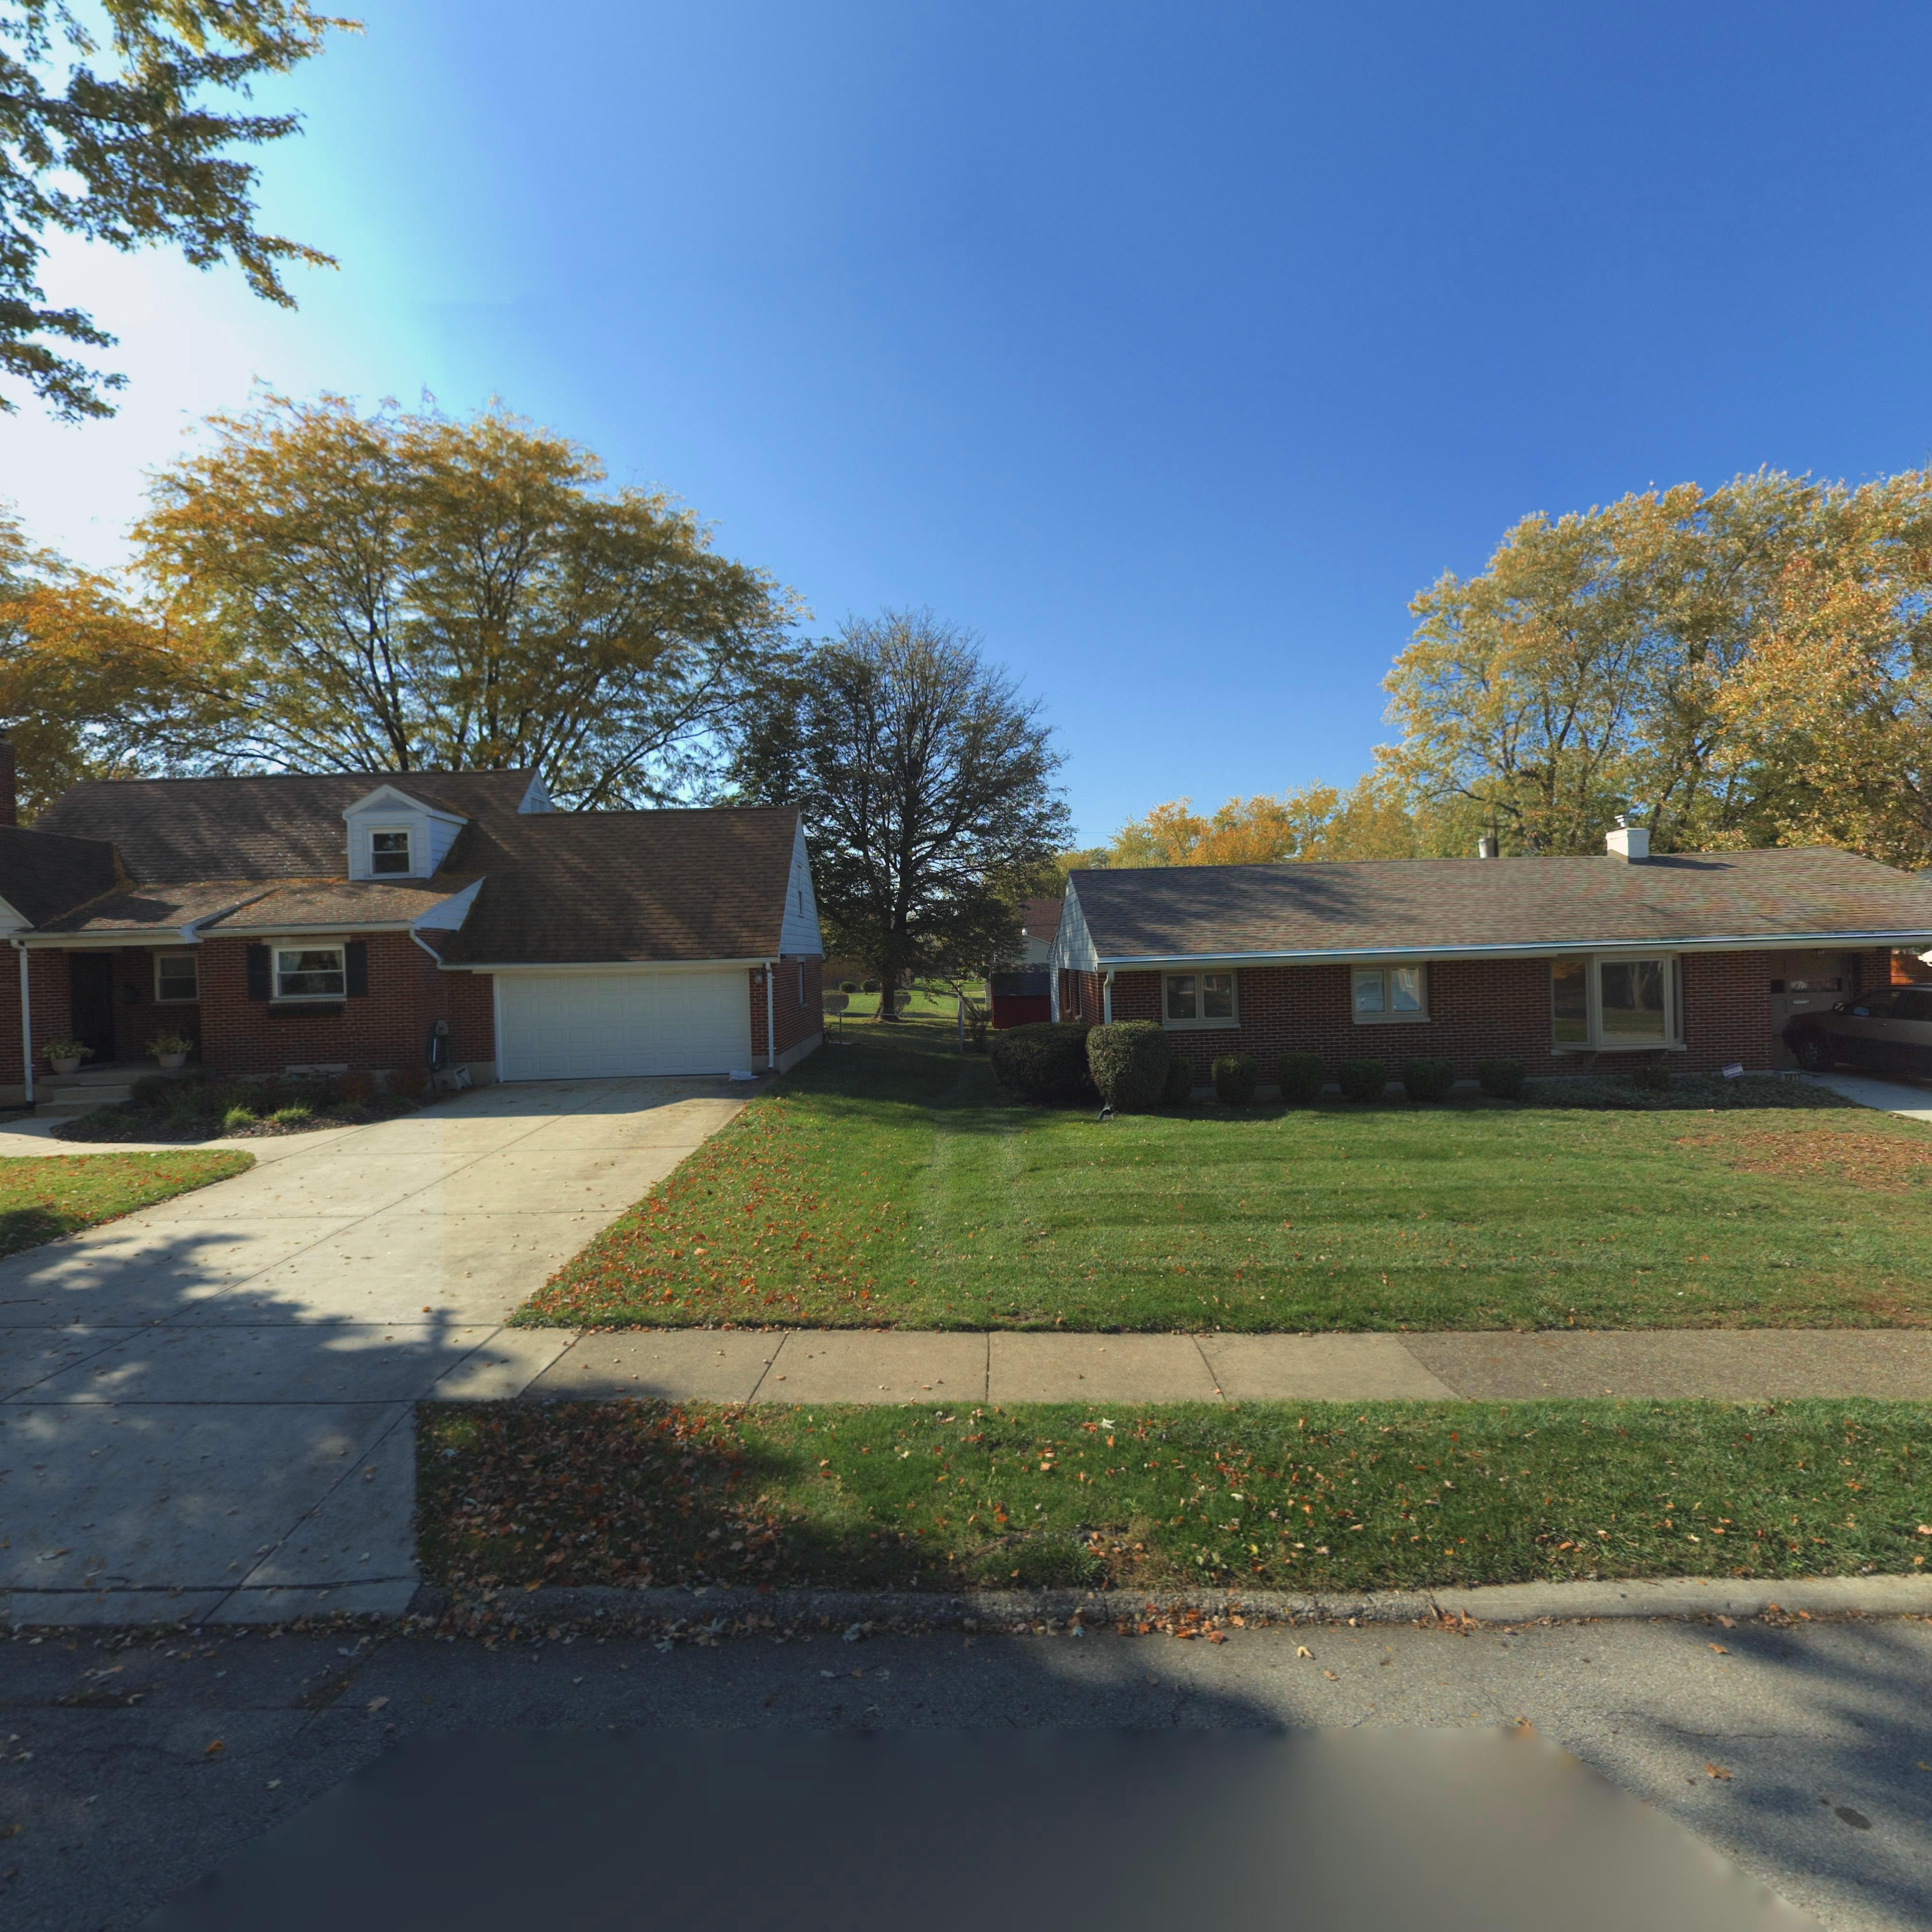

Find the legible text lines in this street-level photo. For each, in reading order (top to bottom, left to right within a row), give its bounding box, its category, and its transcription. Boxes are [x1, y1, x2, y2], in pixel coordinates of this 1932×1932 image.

[1784, 1074, 1801, 1082] StreetNumber: ***7